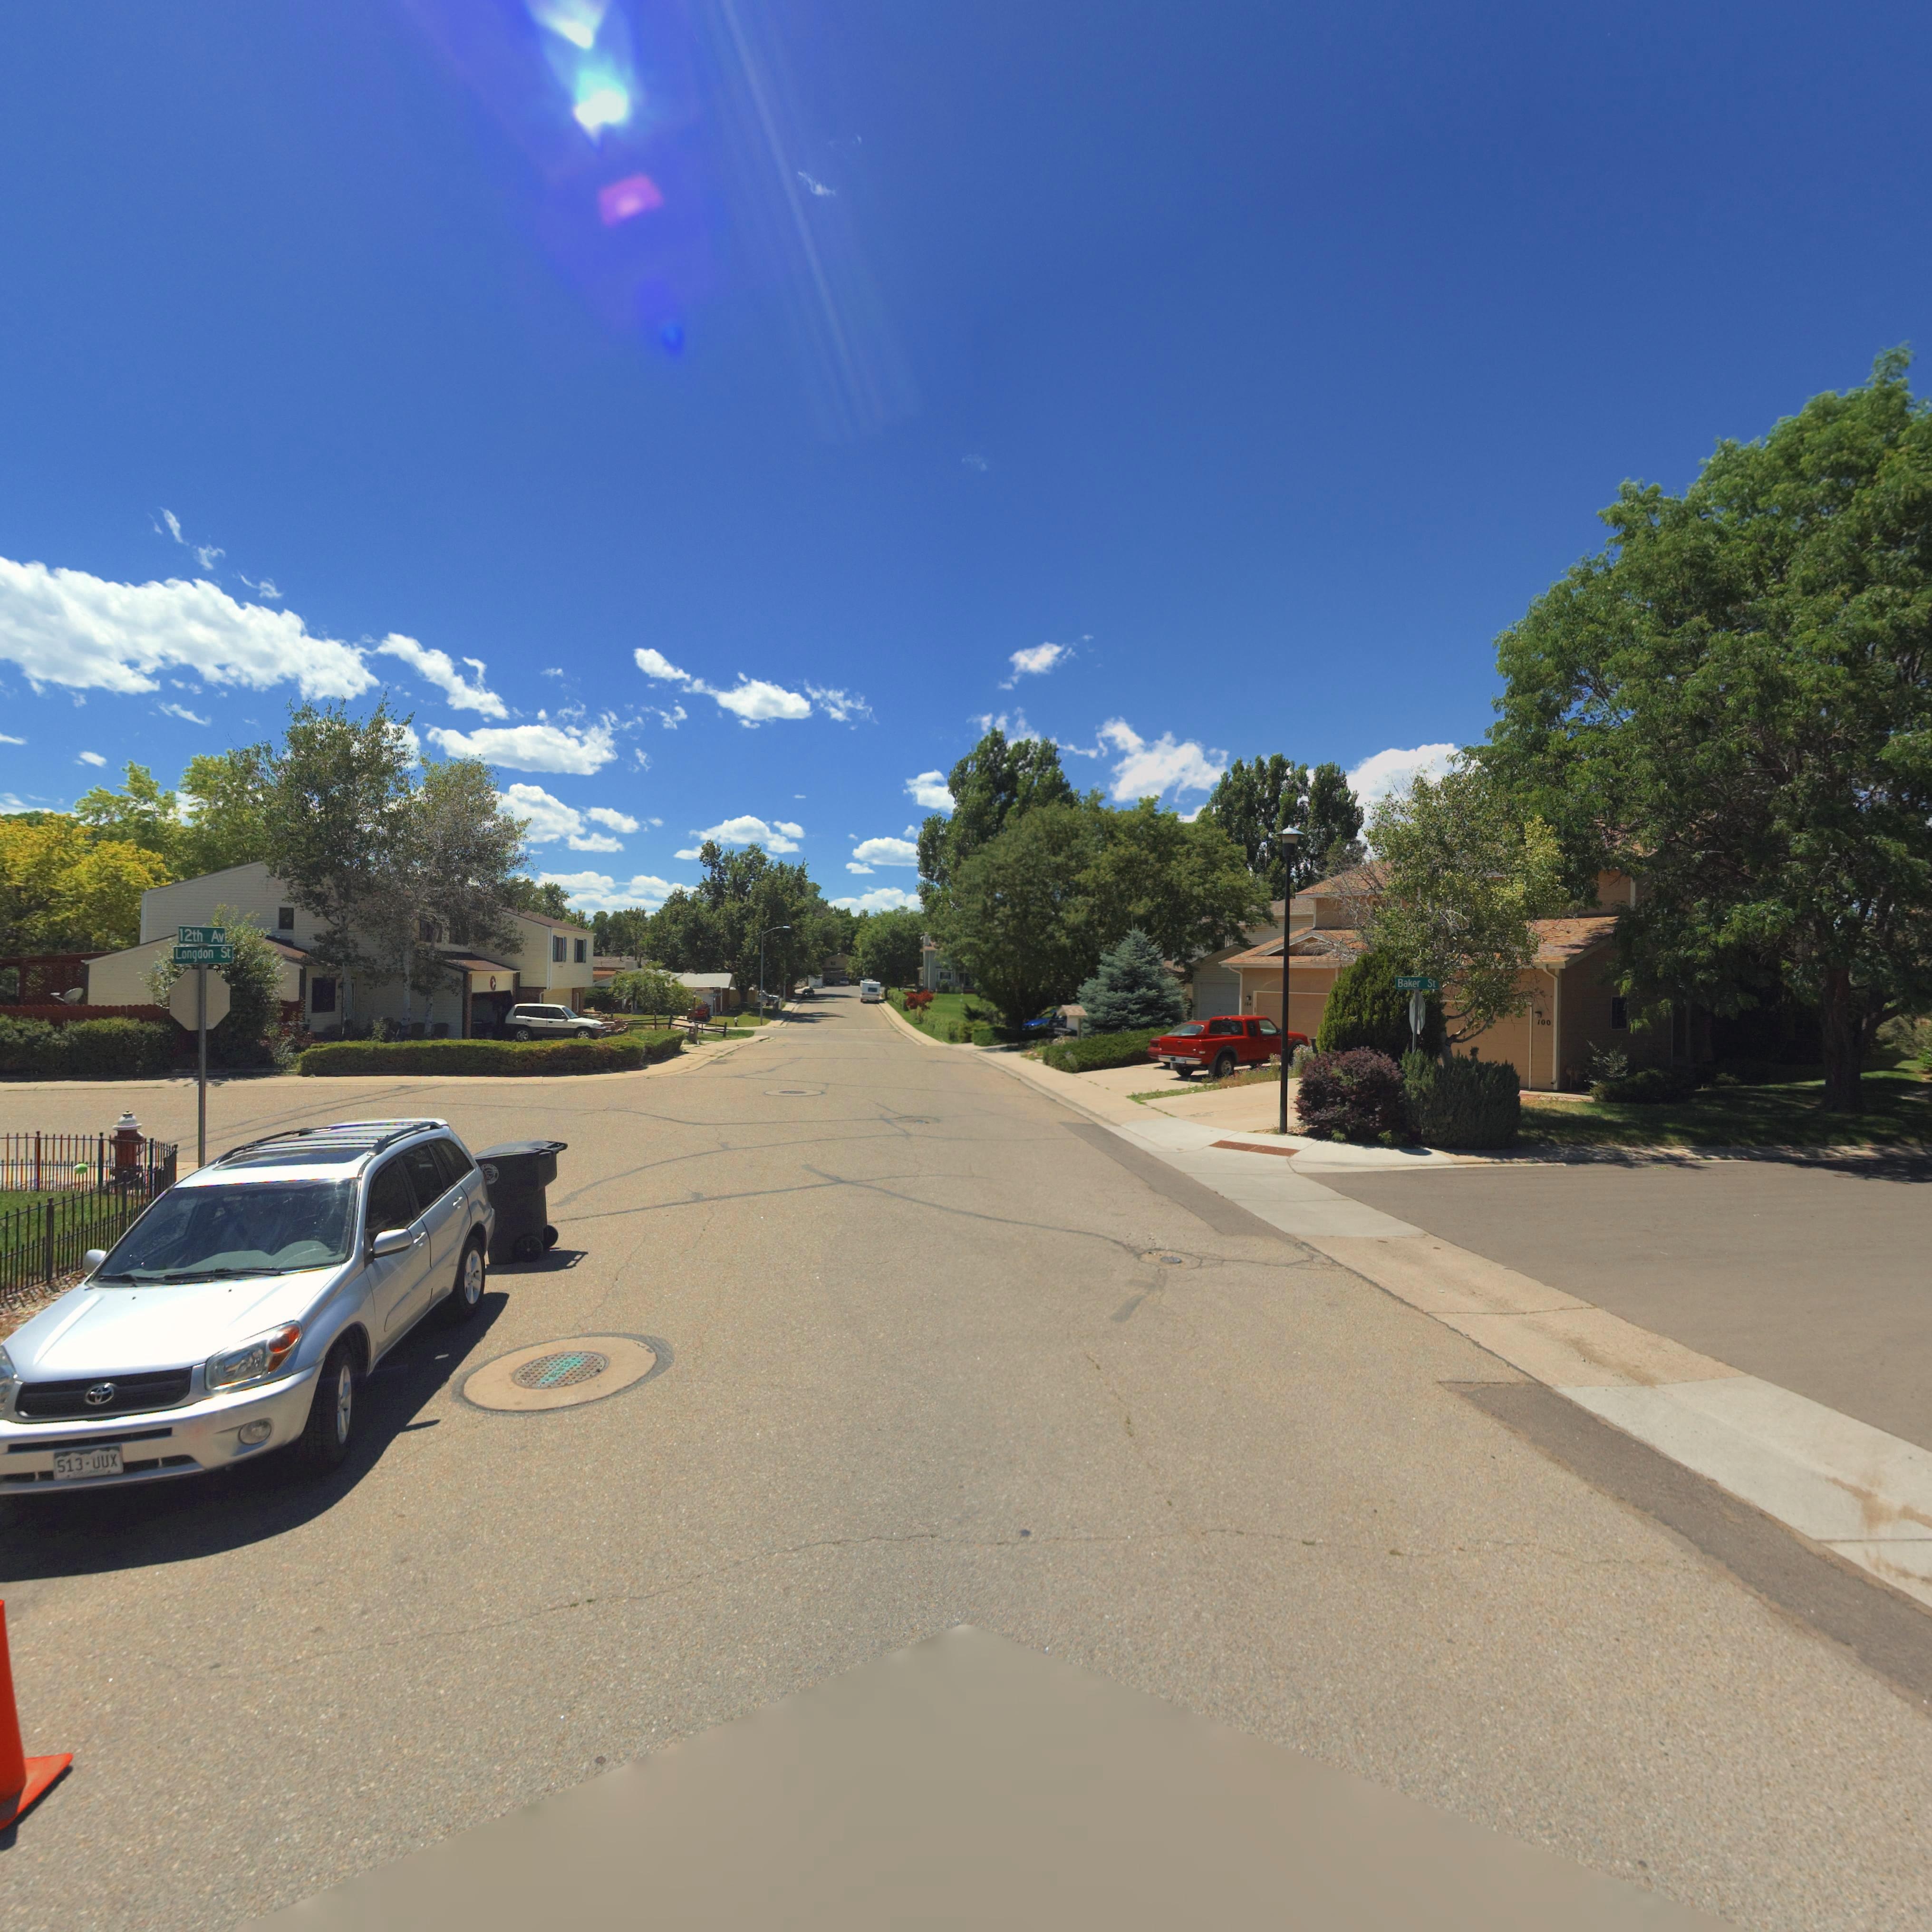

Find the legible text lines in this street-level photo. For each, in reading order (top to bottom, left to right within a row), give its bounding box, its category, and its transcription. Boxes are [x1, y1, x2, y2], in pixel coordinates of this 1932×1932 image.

[179, 927, 224, 943] StreetName: 12th Av
[175, 947, 231, 963] StreetName: Longdon St
[1397, 978, 1436, 988] StreetName: Baker St
[1244, 1002, 1251, 1006] StreetNumber: 104
[1537, 1019, 1551, 1026] StreetNumber: 100